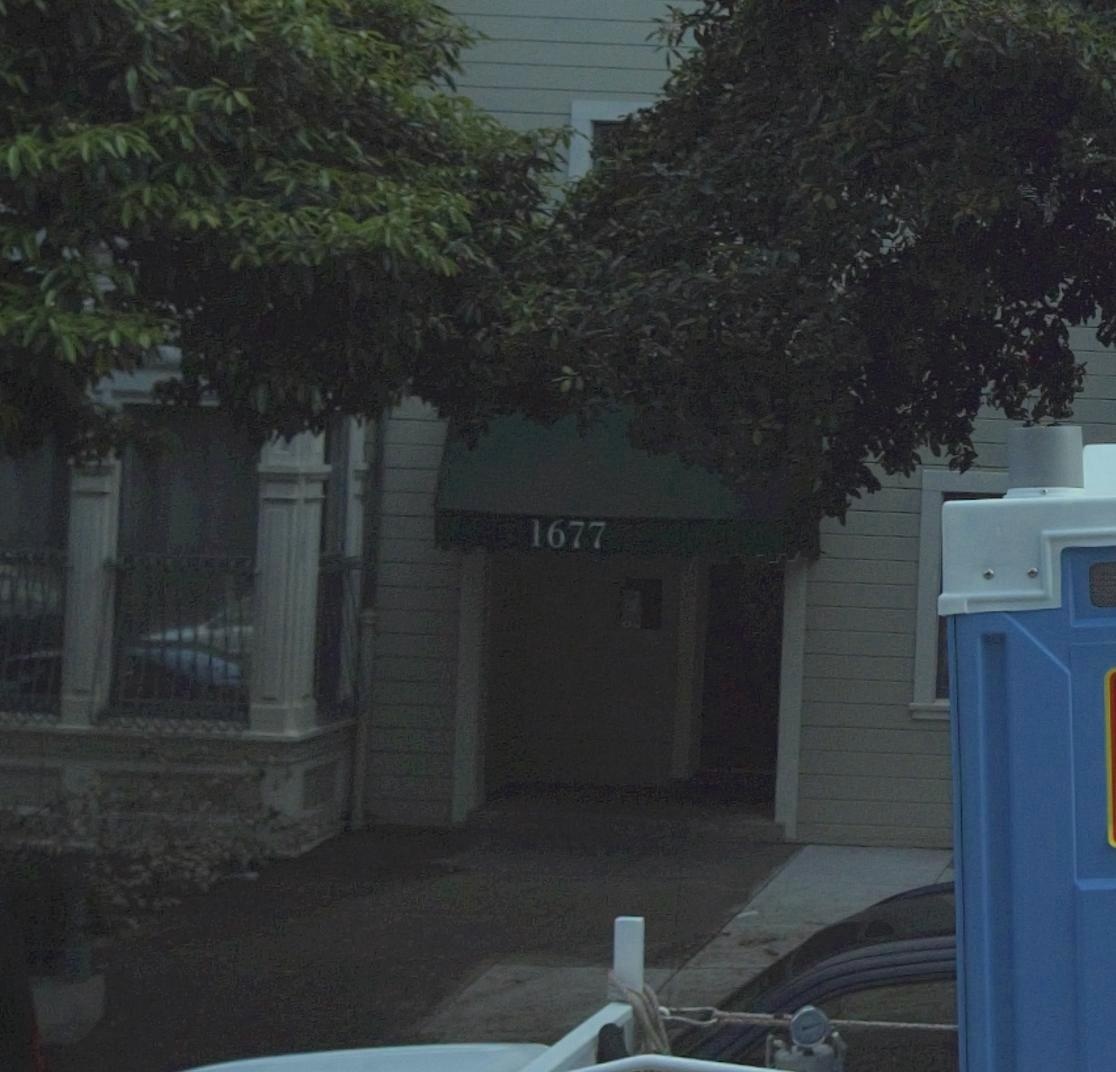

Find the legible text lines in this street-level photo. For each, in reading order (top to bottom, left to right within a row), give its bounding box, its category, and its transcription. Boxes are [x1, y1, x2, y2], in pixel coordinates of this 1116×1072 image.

[529, 515, 608, 552] StreetNumber: 1677